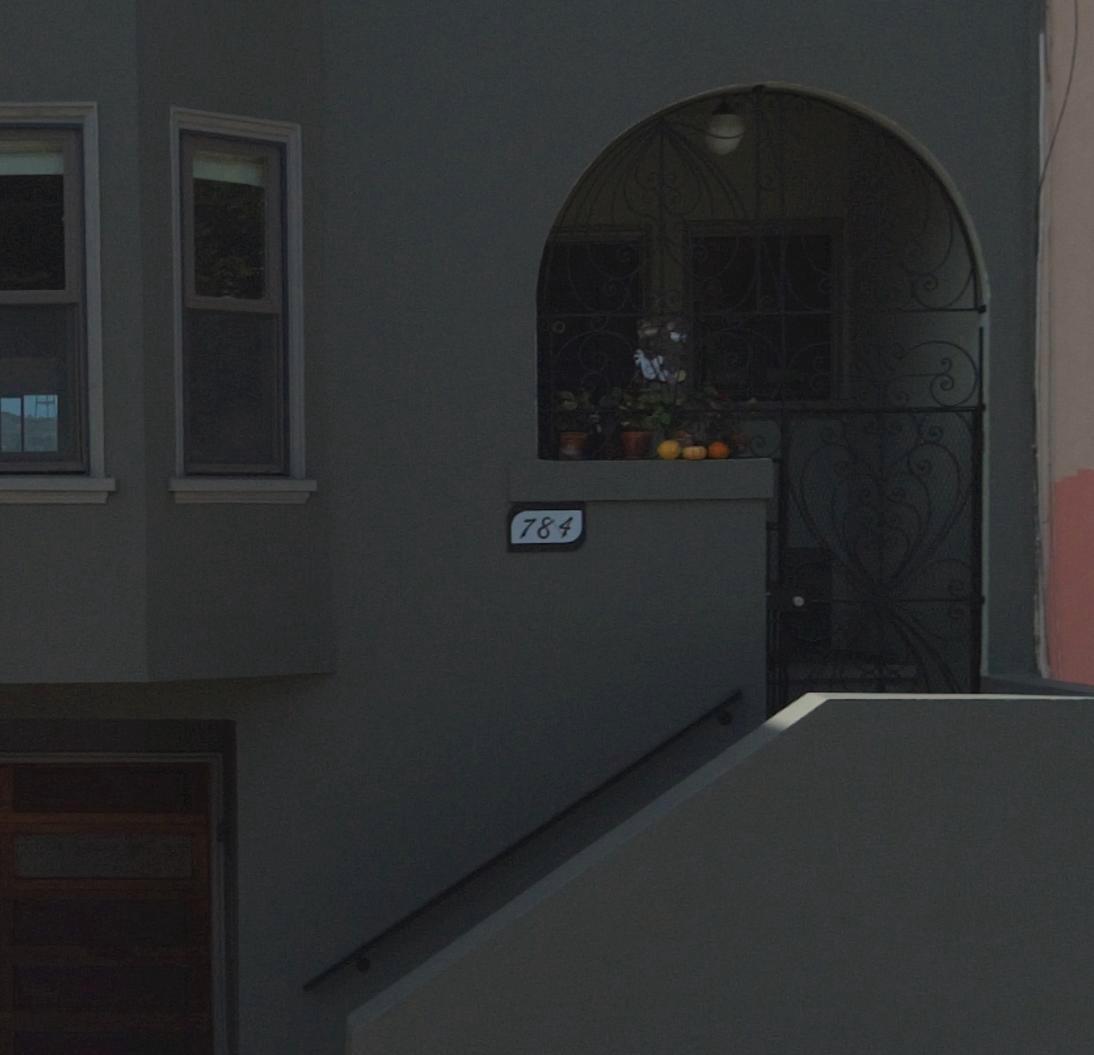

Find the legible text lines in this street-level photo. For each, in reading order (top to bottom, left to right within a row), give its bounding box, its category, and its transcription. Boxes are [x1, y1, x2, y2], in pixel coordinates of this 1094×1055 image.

[518, 515, 574, 540] StreetNumber: 784